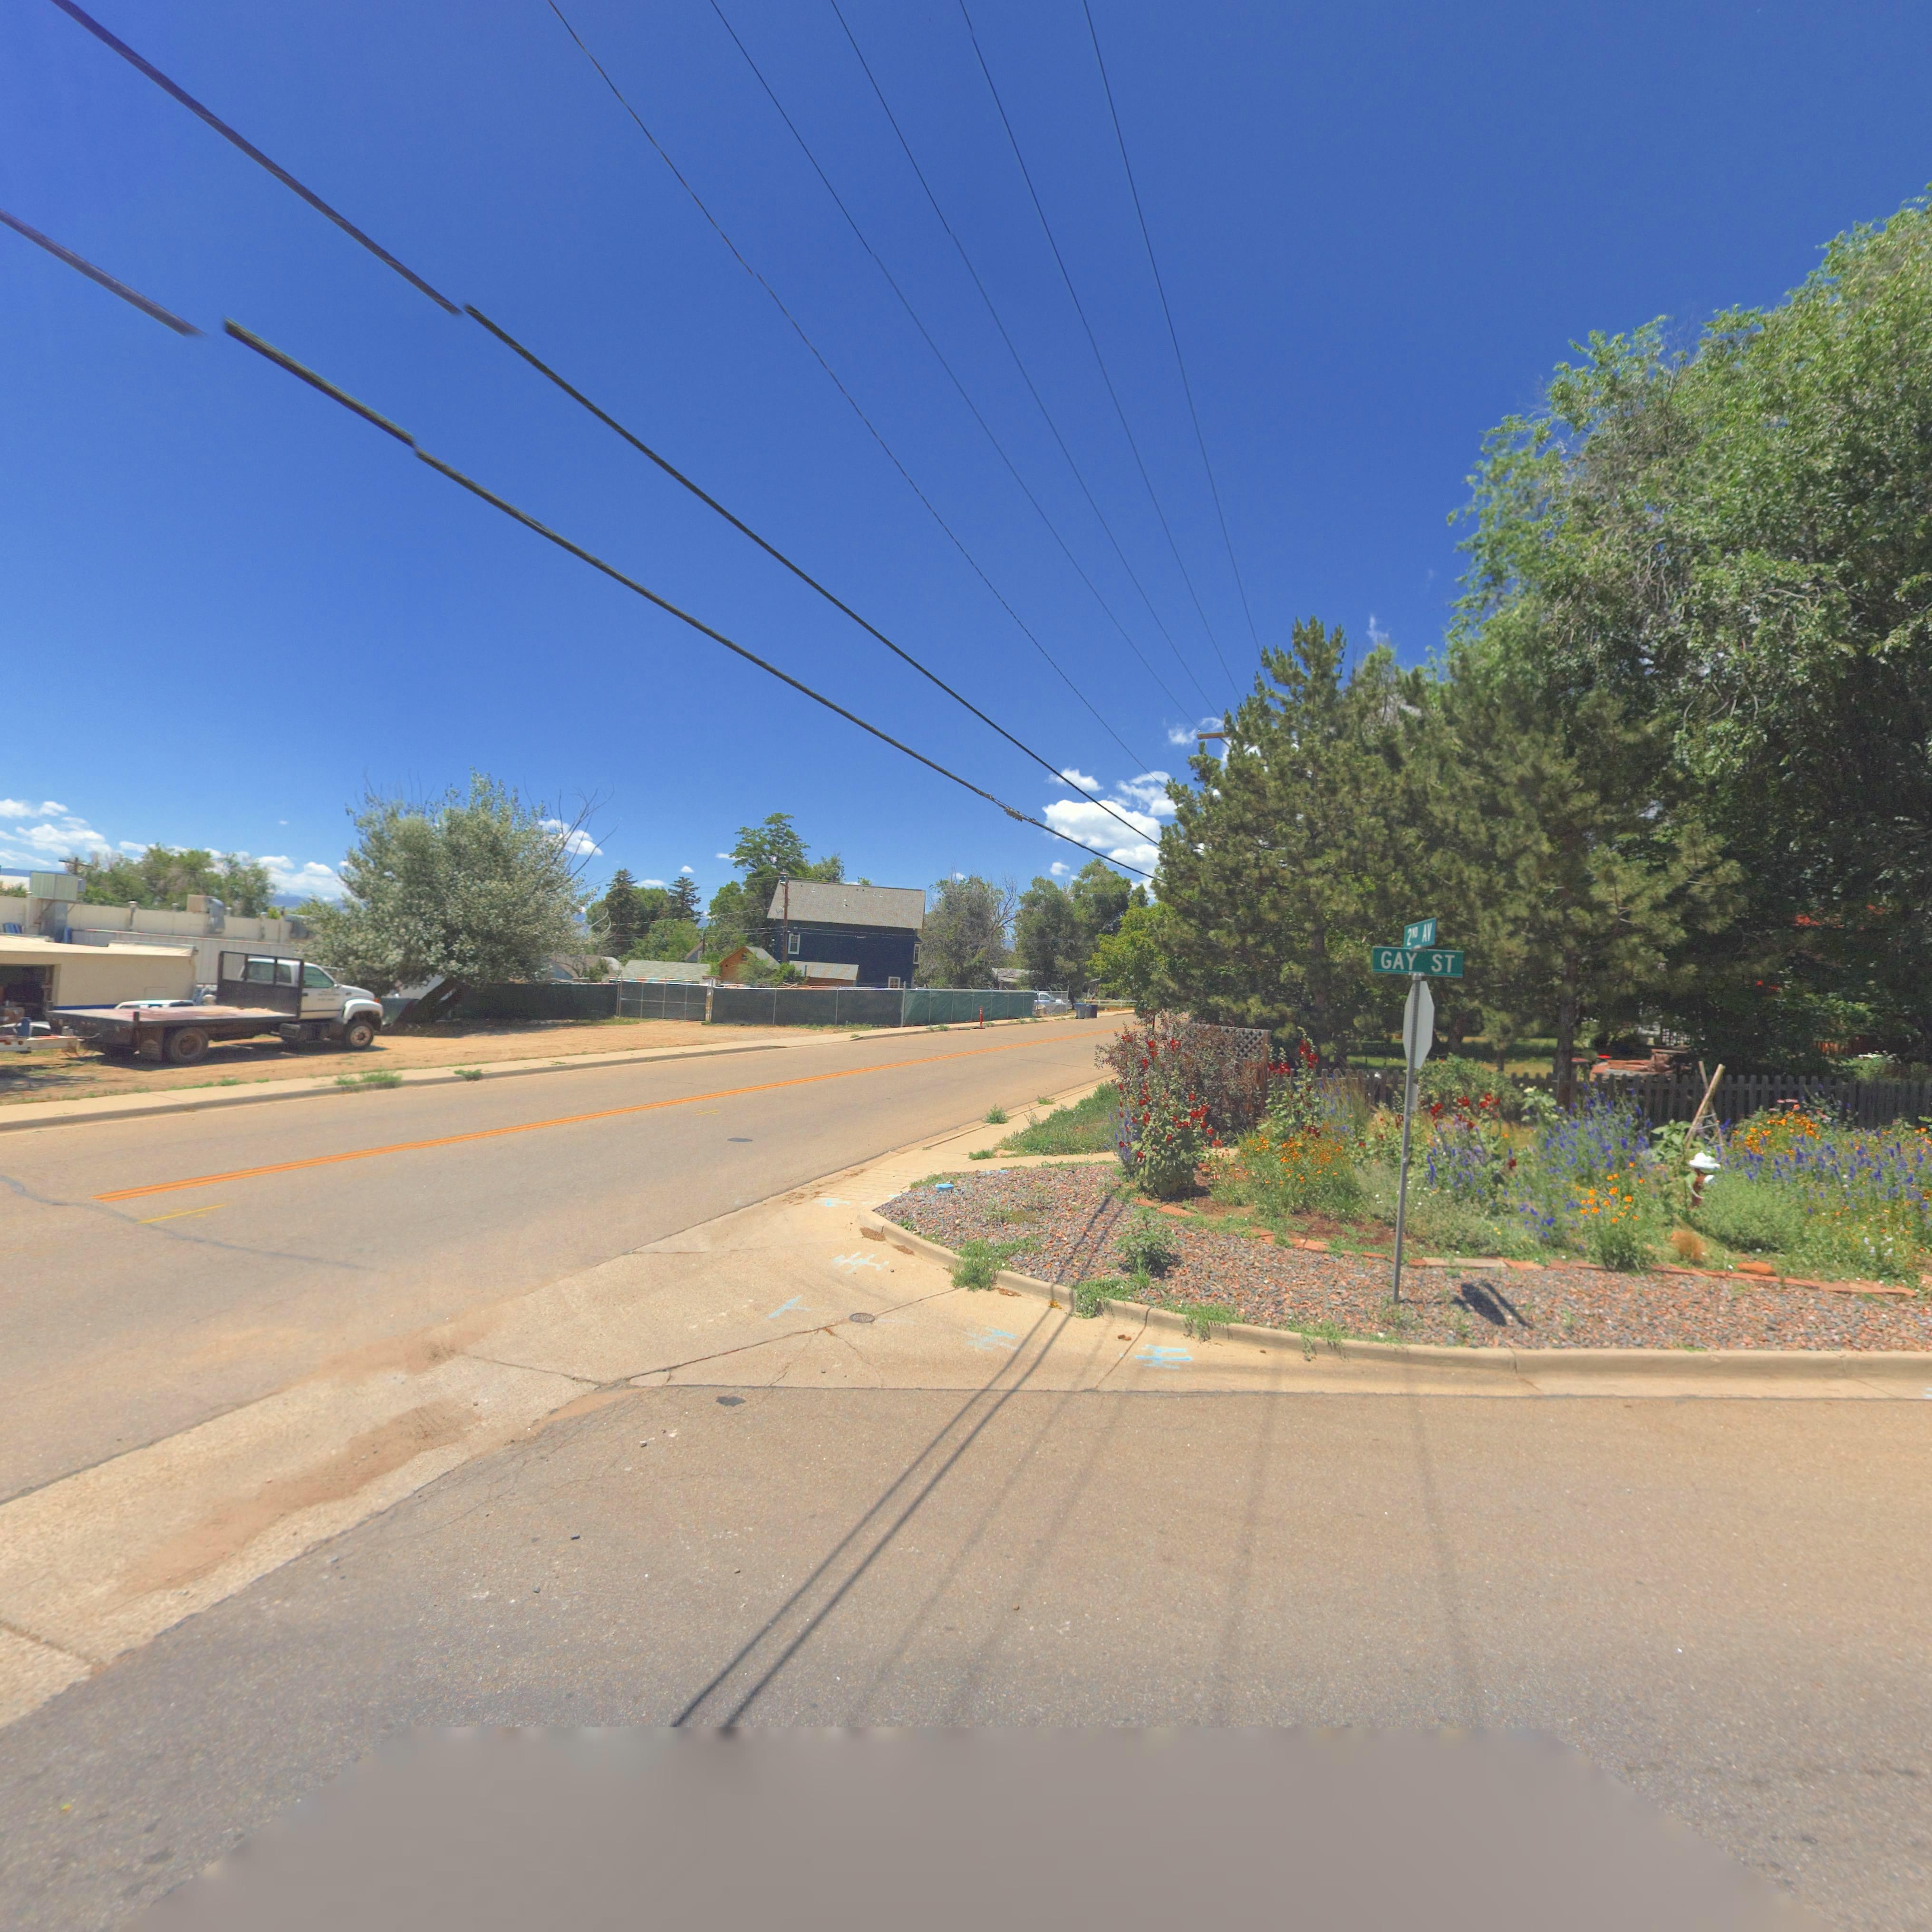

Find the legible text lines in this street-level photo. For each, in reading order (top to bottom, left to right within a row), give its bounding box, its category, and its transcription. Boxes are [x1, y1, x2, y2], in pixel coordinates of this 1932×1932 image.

[1406, 921, 1433, 946] StreetName: 2ND AV
[1380, 950, 1455, 974] StreetName: GAY ST